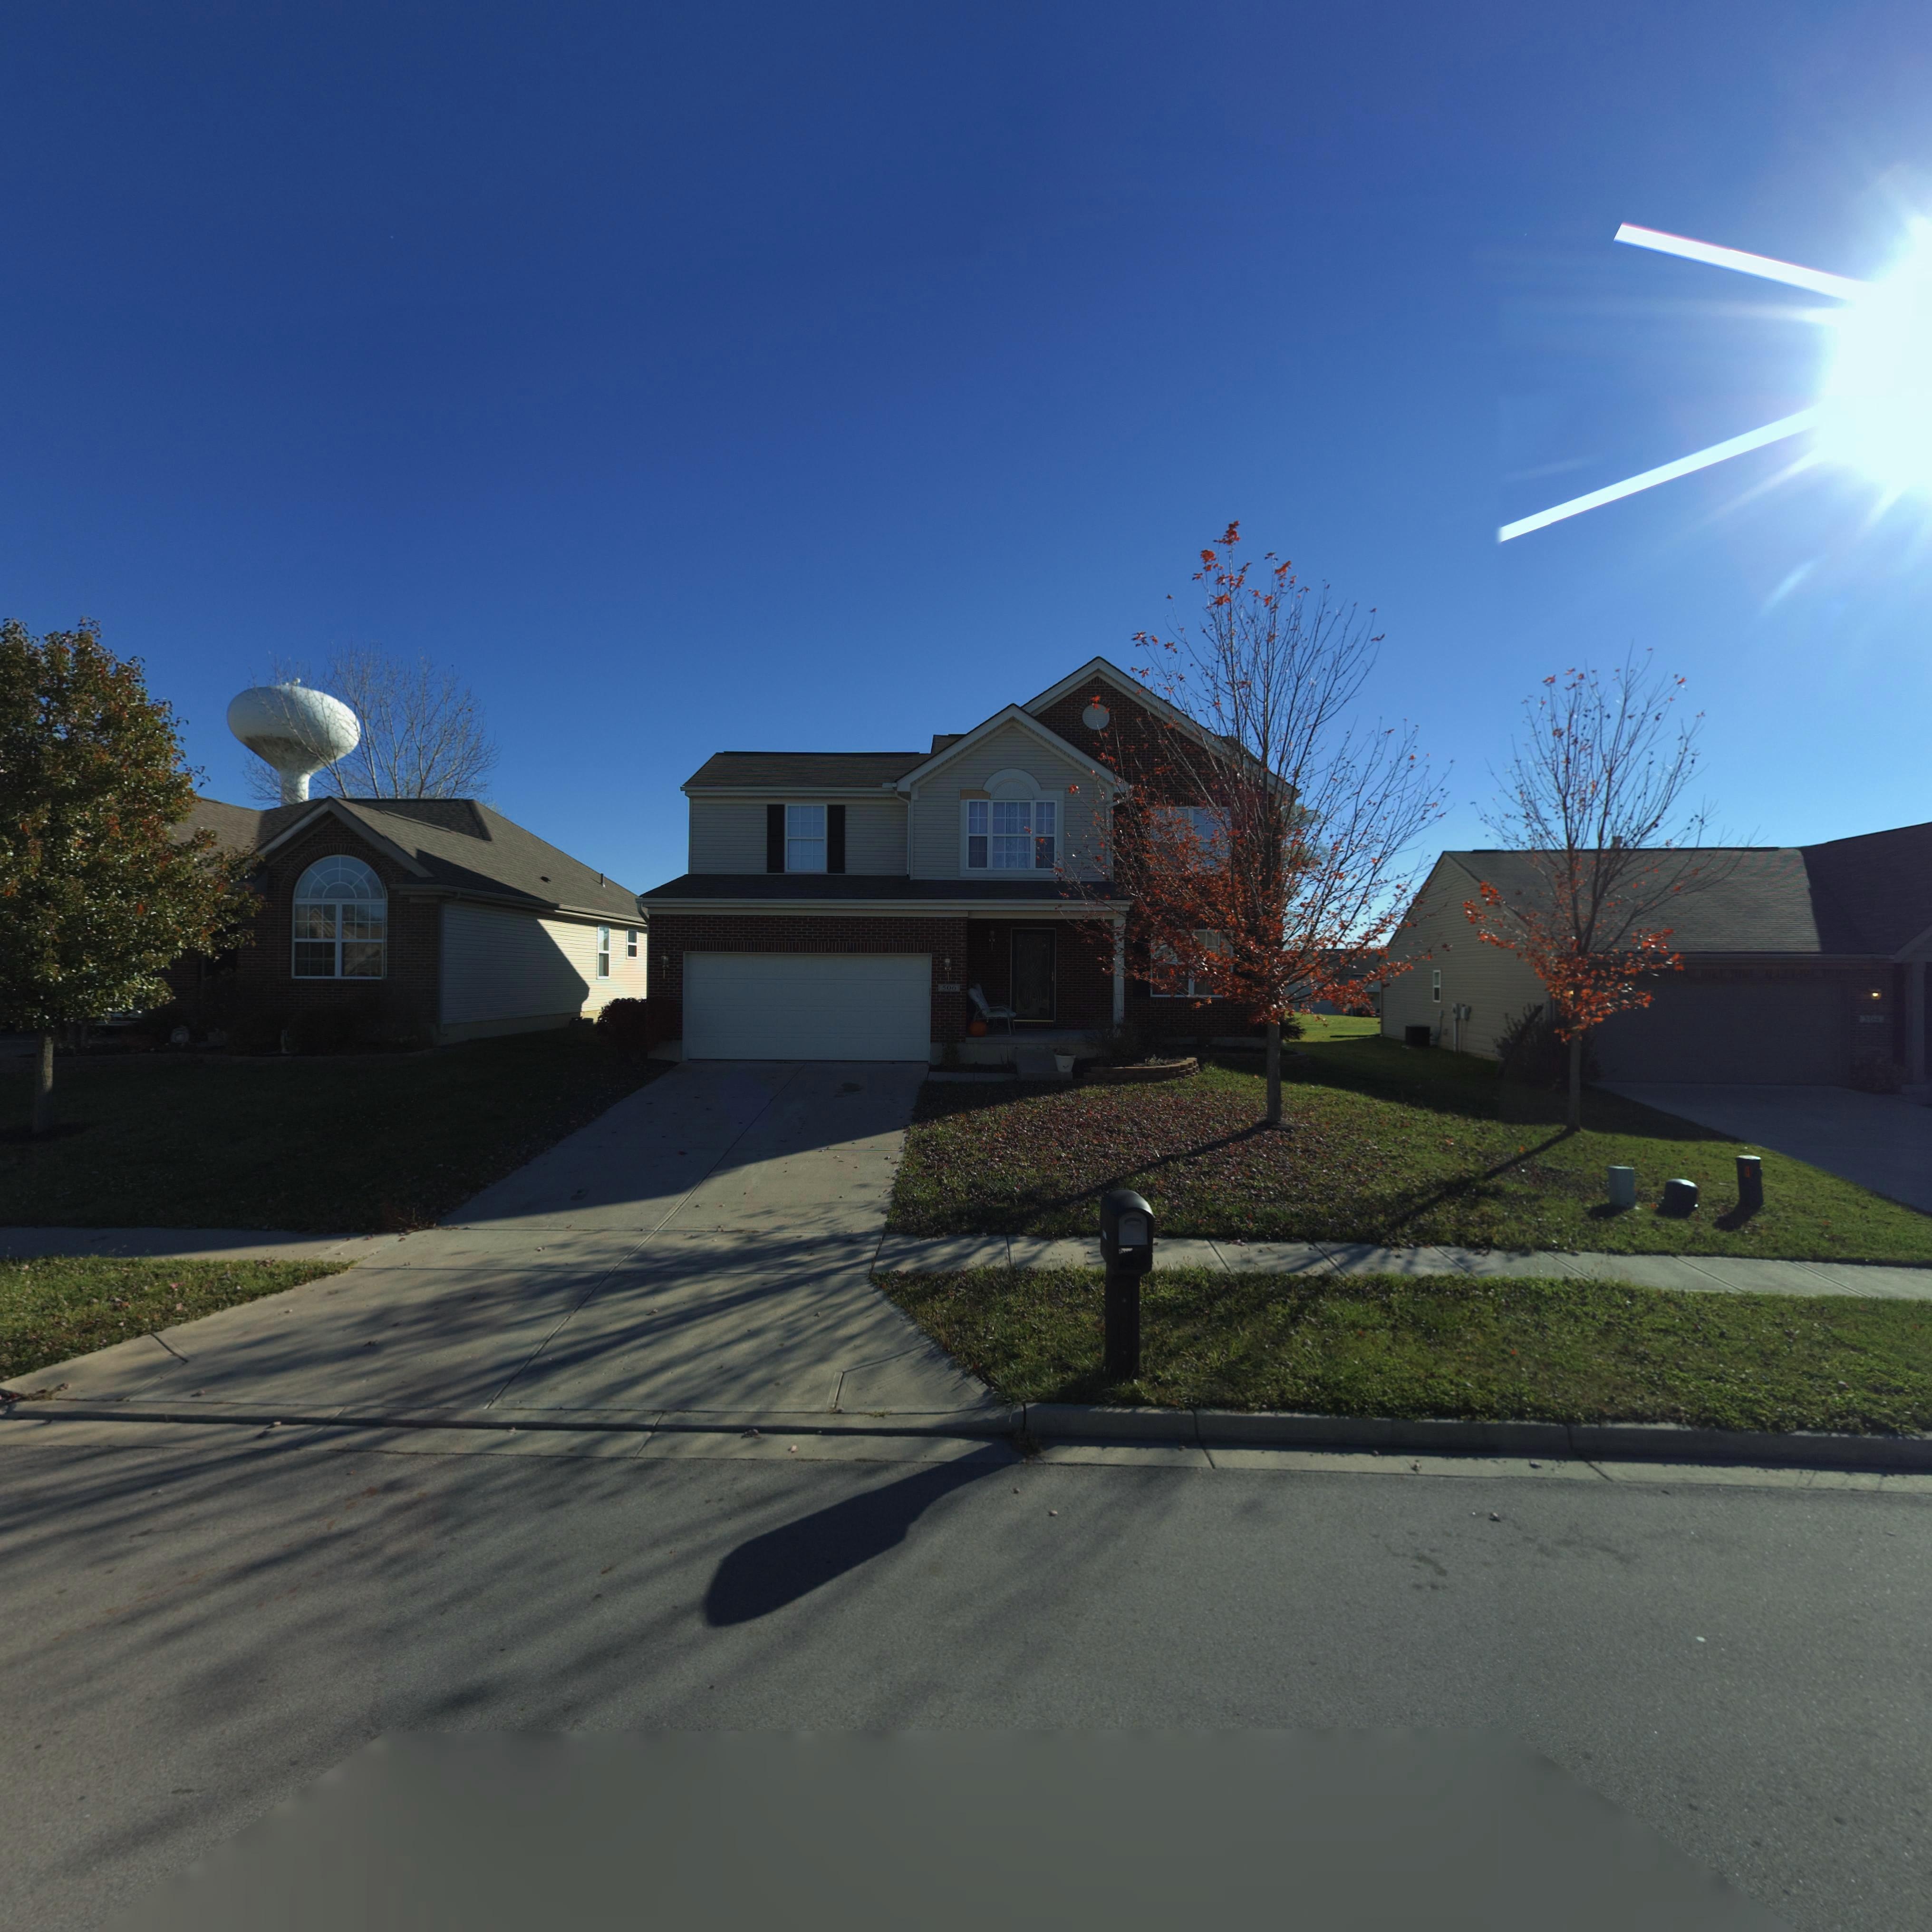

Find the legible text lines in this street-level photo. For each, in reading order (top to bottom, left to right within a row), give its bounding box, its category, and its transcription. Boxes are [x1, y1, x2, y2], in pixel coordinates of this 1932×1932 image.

[941, 984, 957, 992] StreetNumber: 506
[1862, 1015, 1881, 1023] StreetNumber: *0*